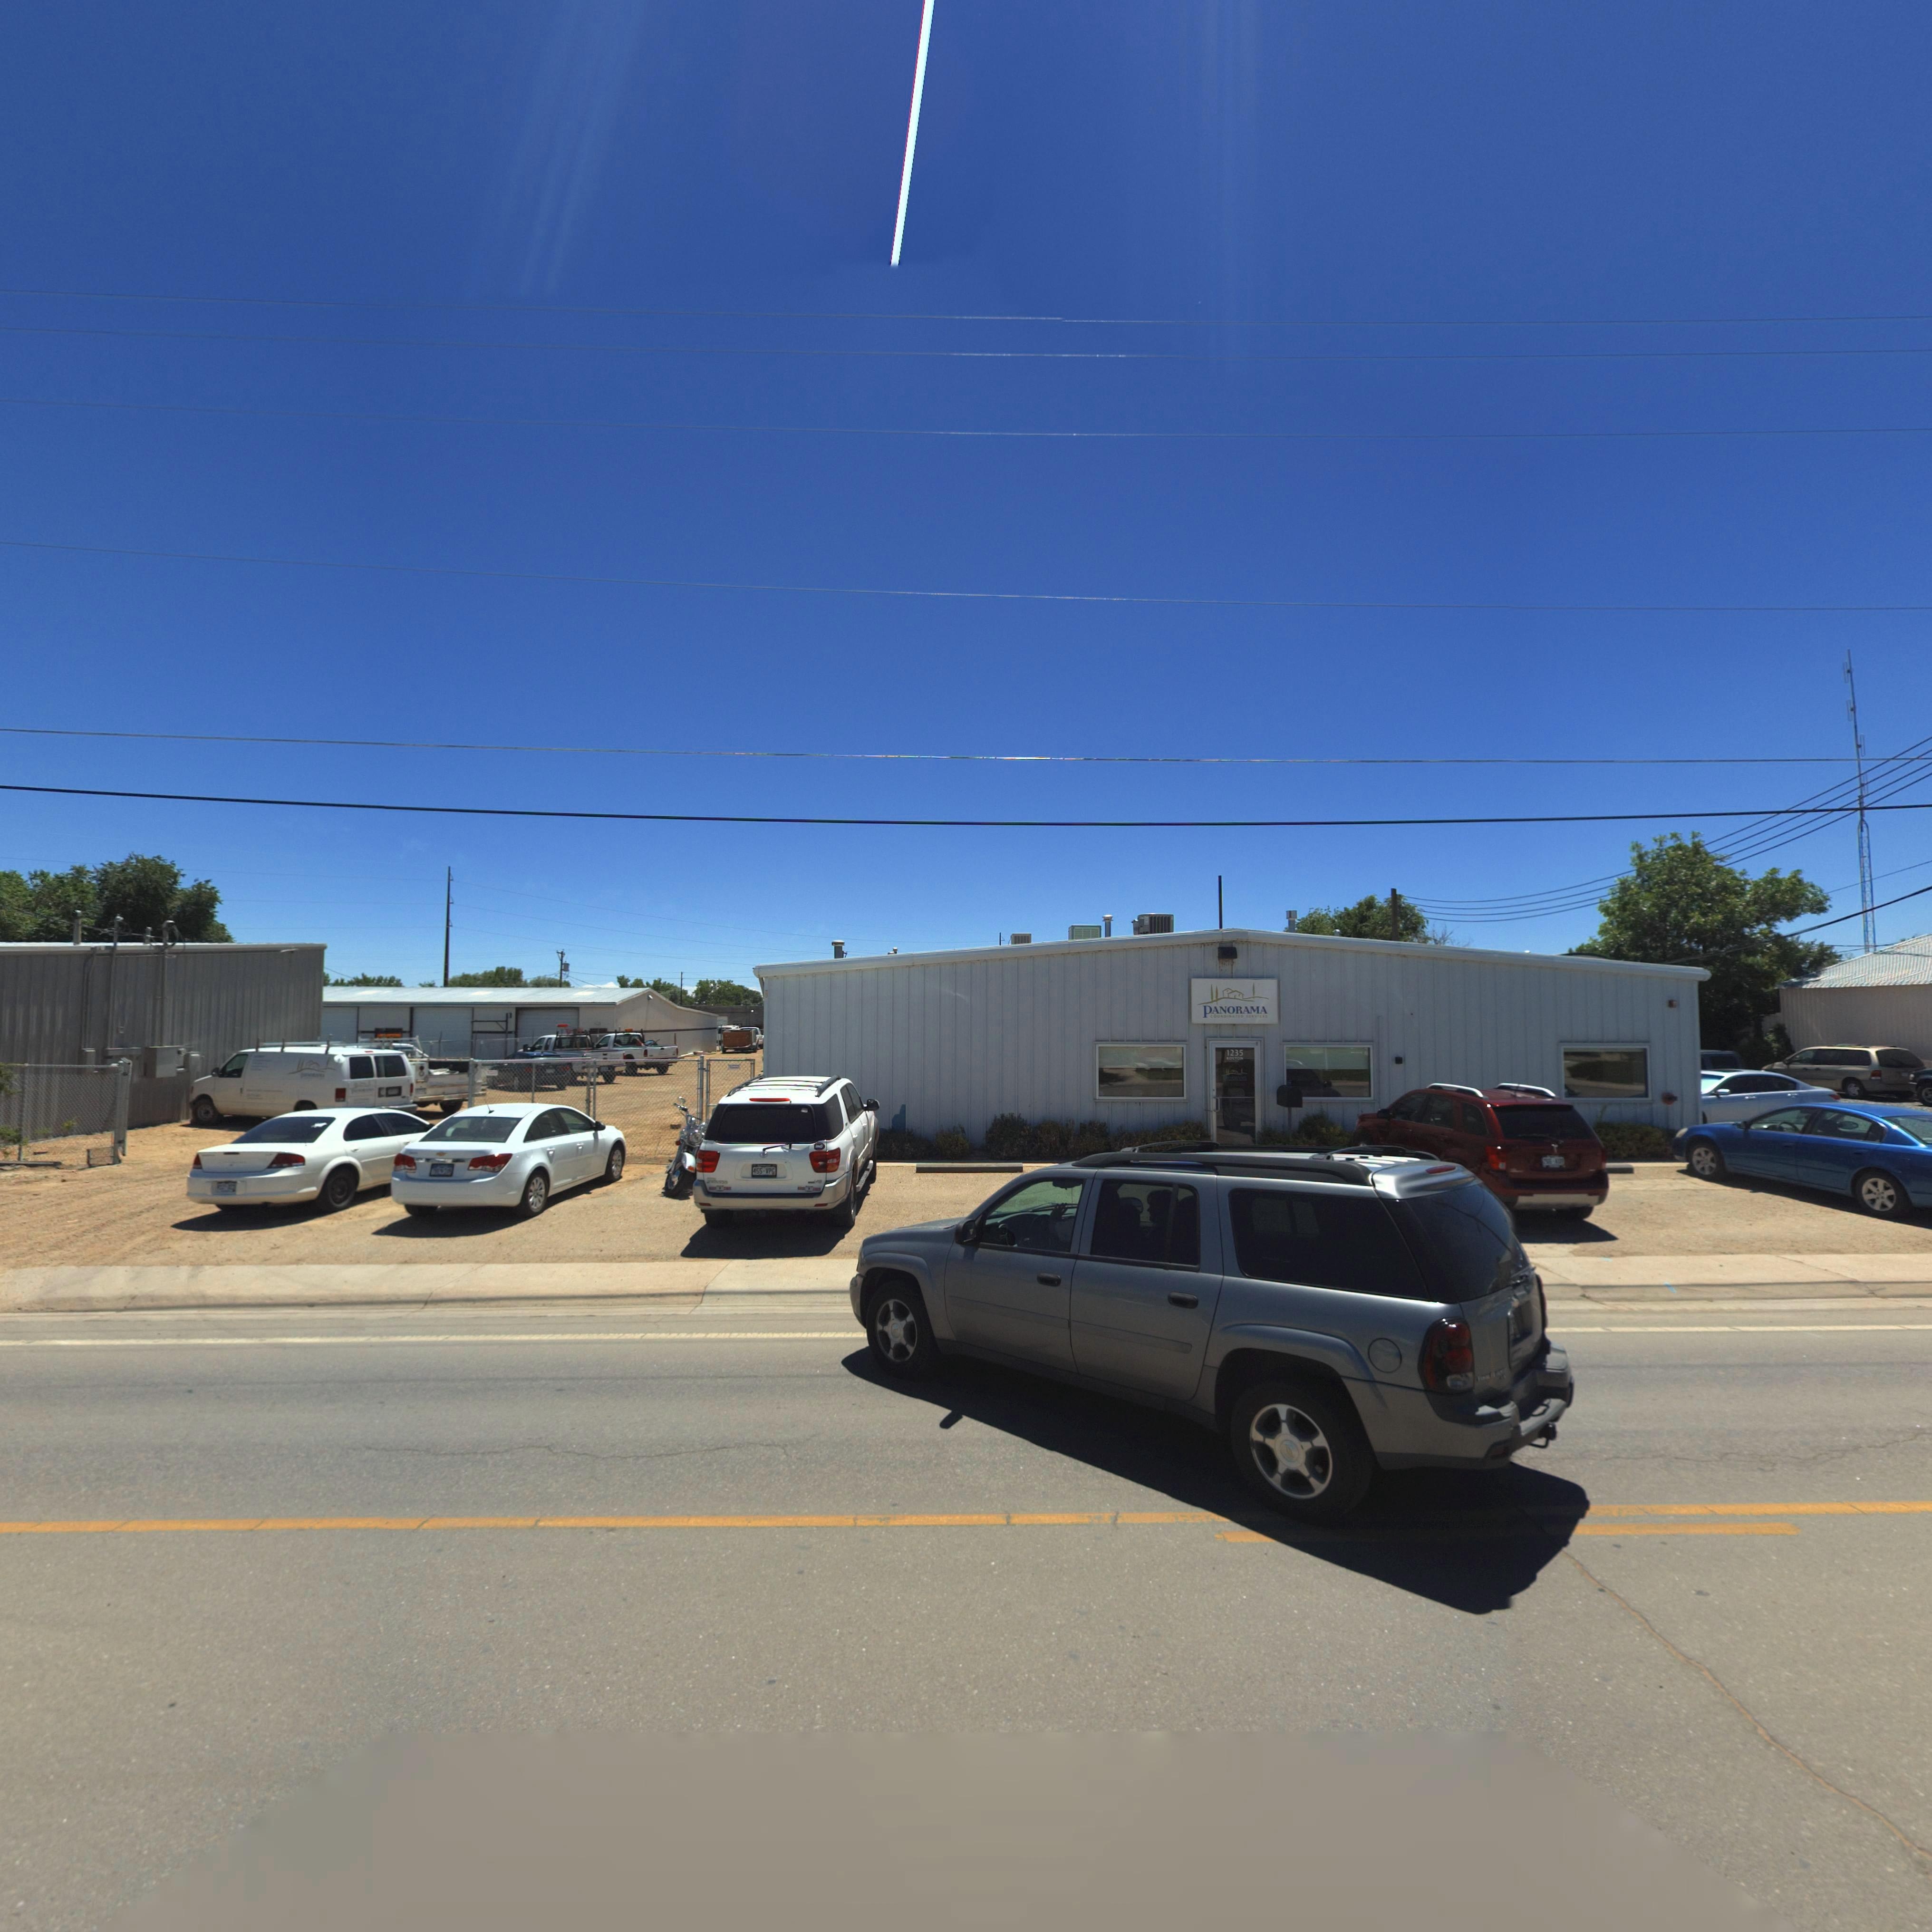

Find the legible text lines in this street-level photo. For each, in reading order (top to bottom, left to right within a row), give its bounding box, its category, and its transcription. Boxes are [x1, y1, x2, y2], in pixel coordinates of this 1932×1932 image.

[1202, 1005, 1268, 1018] BusinessName: PANORAMA
[1210, 1014, 1267, 1018] BusinessName: COORDINATED S**VICES
[1227, 1049, 1243, 1056] StreetNumber: 1235
[1226, 1056, 1243, 1060] StreetName: BOSTON
[1223, 1075, 1247, 1081] BusinessName: PANO**MA